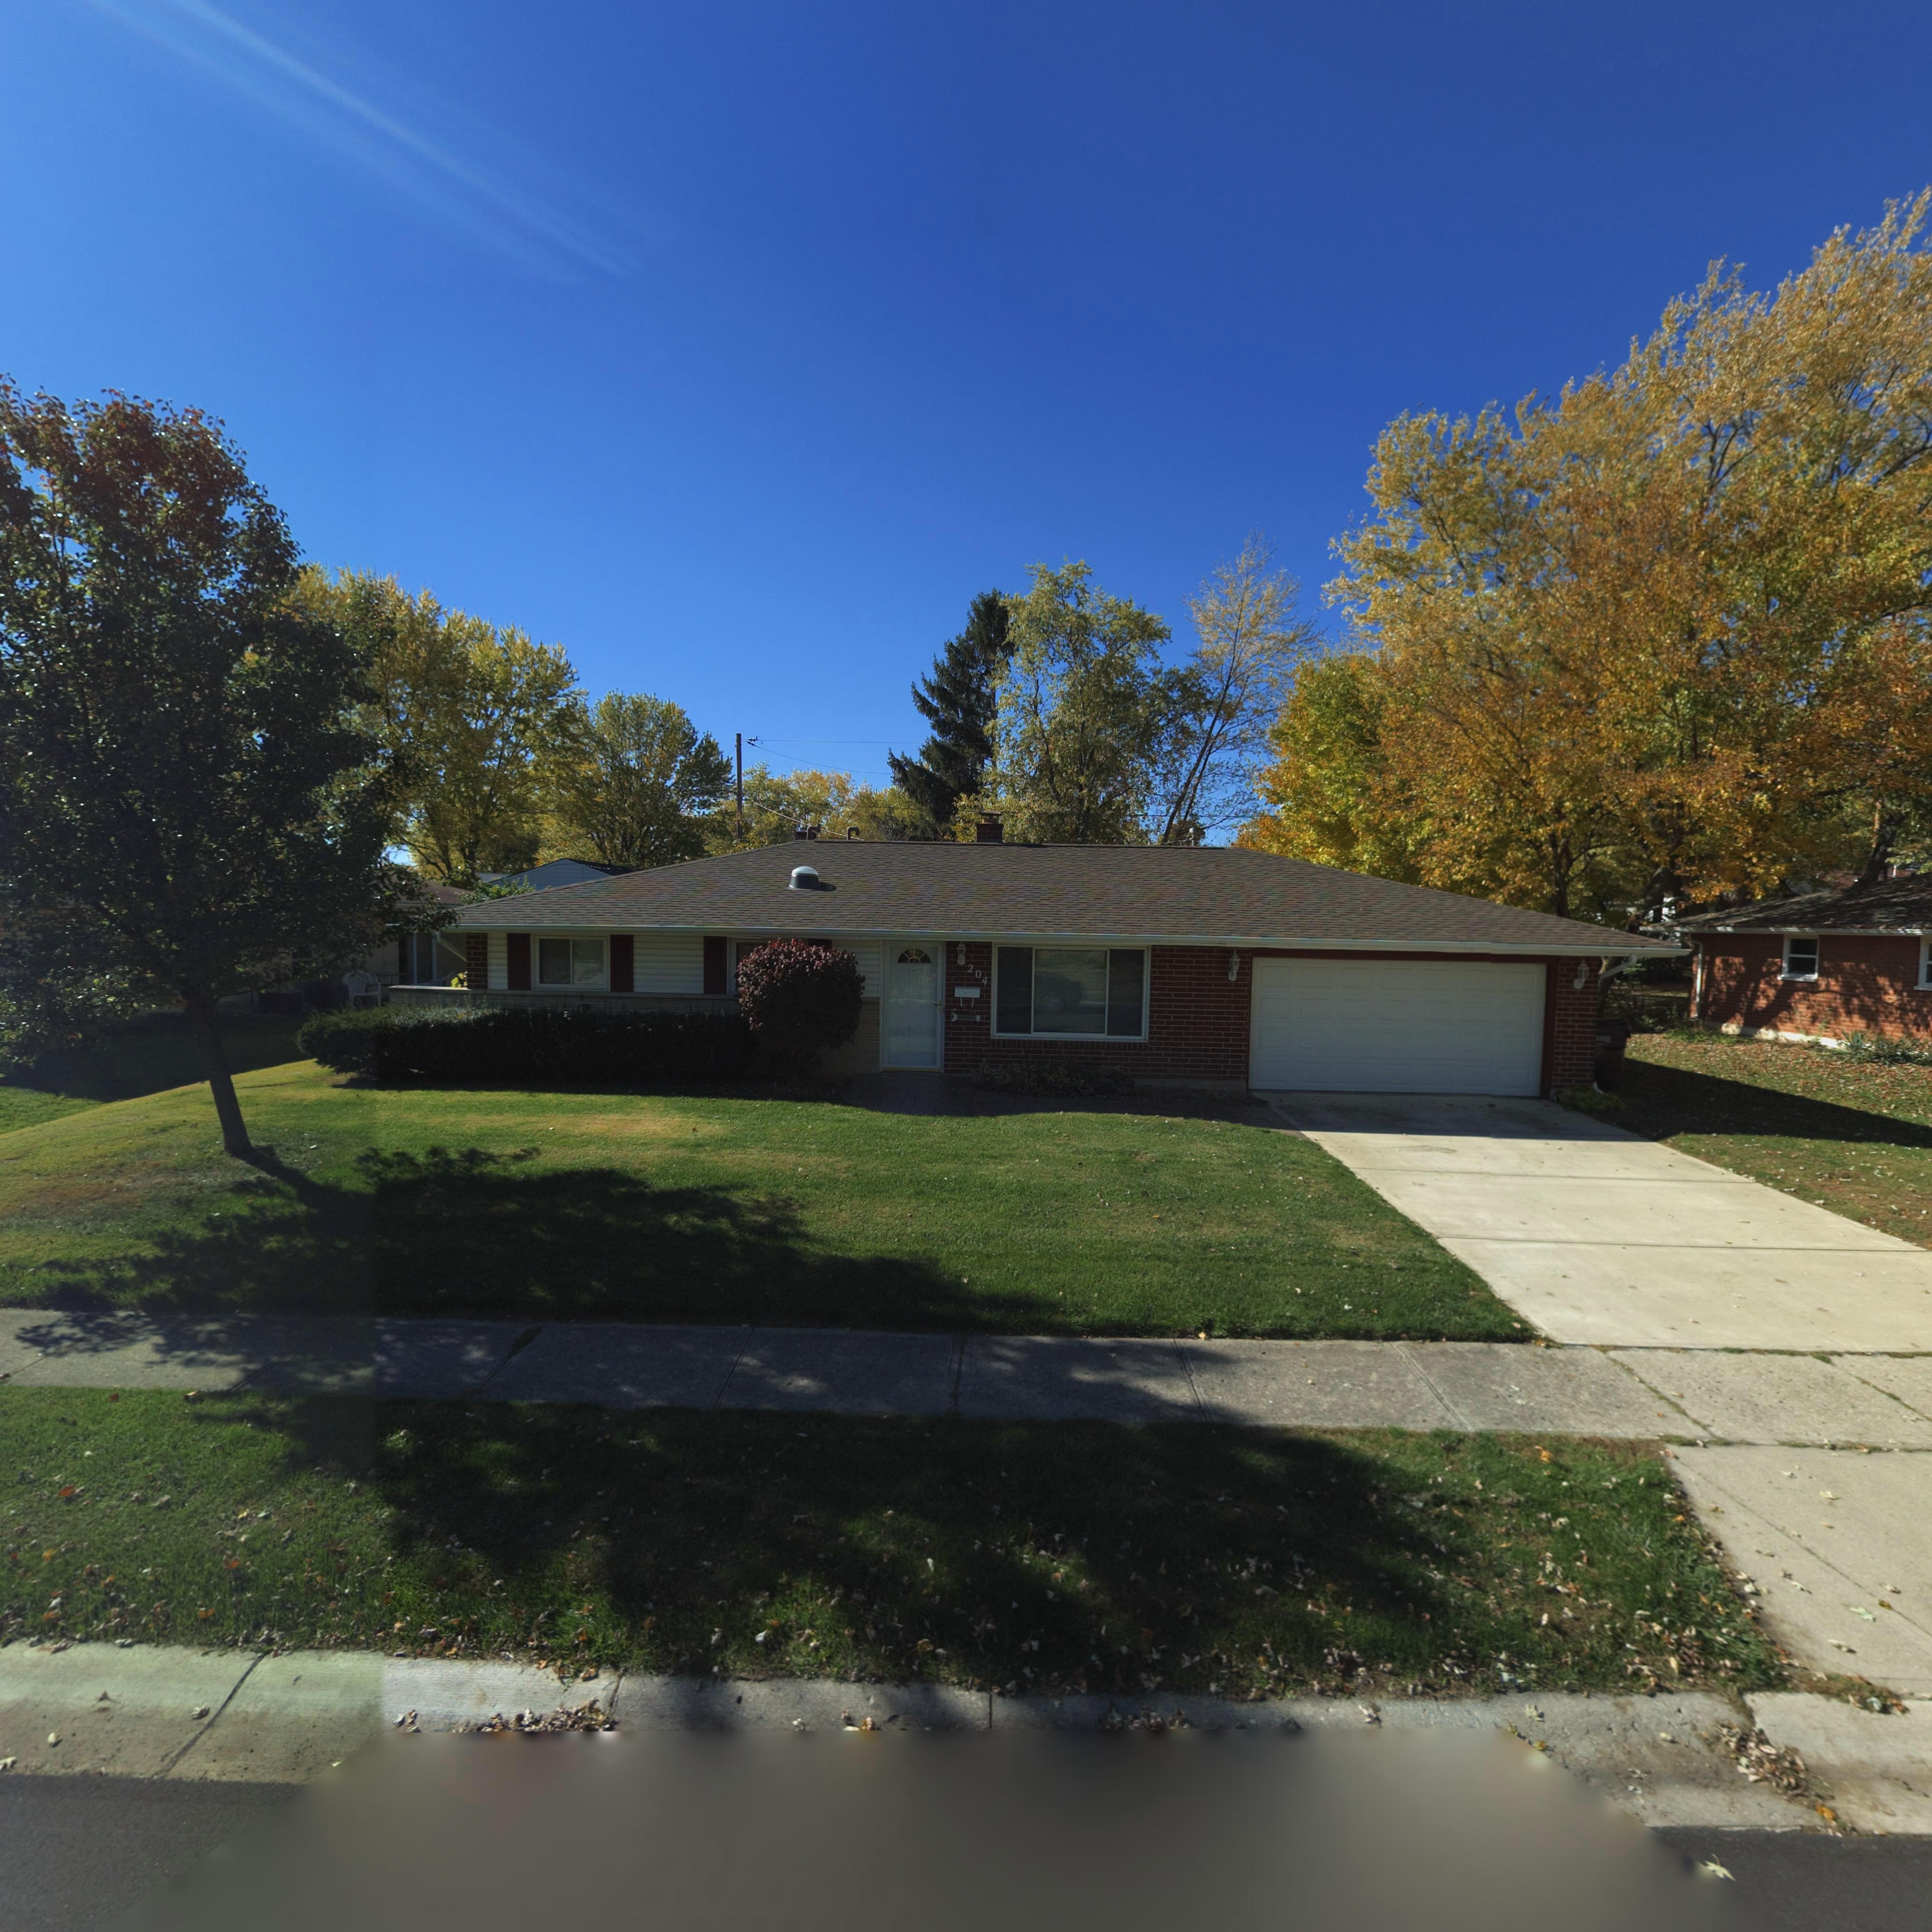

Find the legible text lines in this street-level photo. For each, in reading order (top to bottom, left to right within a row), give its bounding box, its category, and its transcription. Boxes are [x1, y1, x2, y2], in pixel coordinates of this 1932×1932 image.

[966, 964, 988, 985] StreetNumber: 204